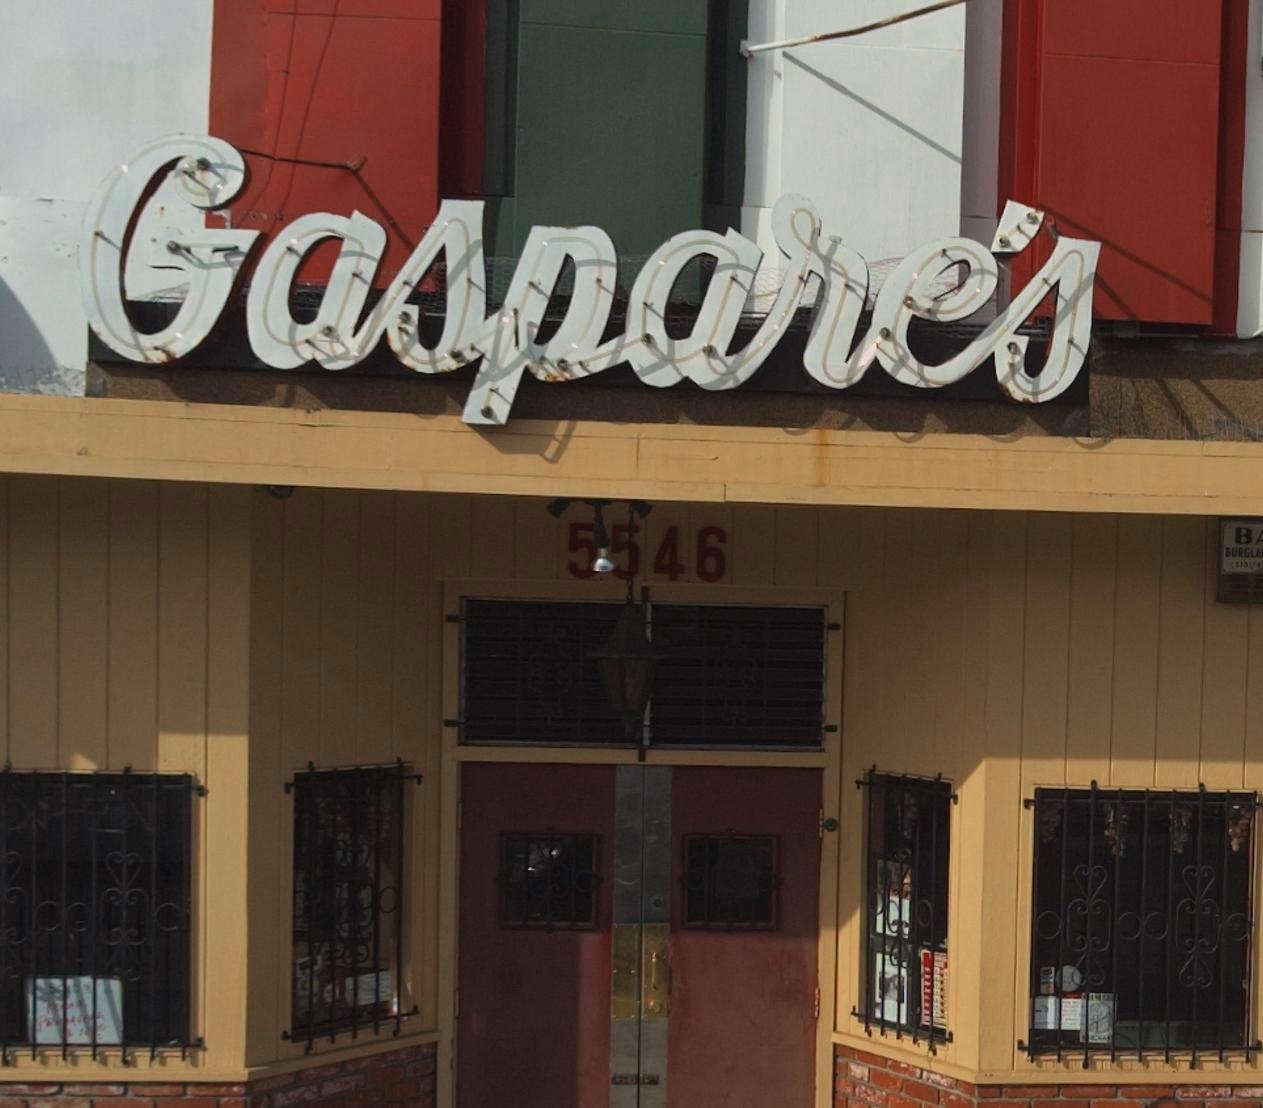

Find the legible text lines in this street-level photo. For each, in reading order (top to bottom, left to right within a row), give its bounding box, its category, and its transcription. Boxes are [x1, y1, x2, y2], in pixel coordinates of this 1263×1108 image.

[71, 128, 1110, 433] BusinessName: Gaspare's
[566, 519, 731, 585] StreetNumber: **46
[1224, 546, 1263, 559] None: BURGLA
[1233, 523, 1255, 547] None: B